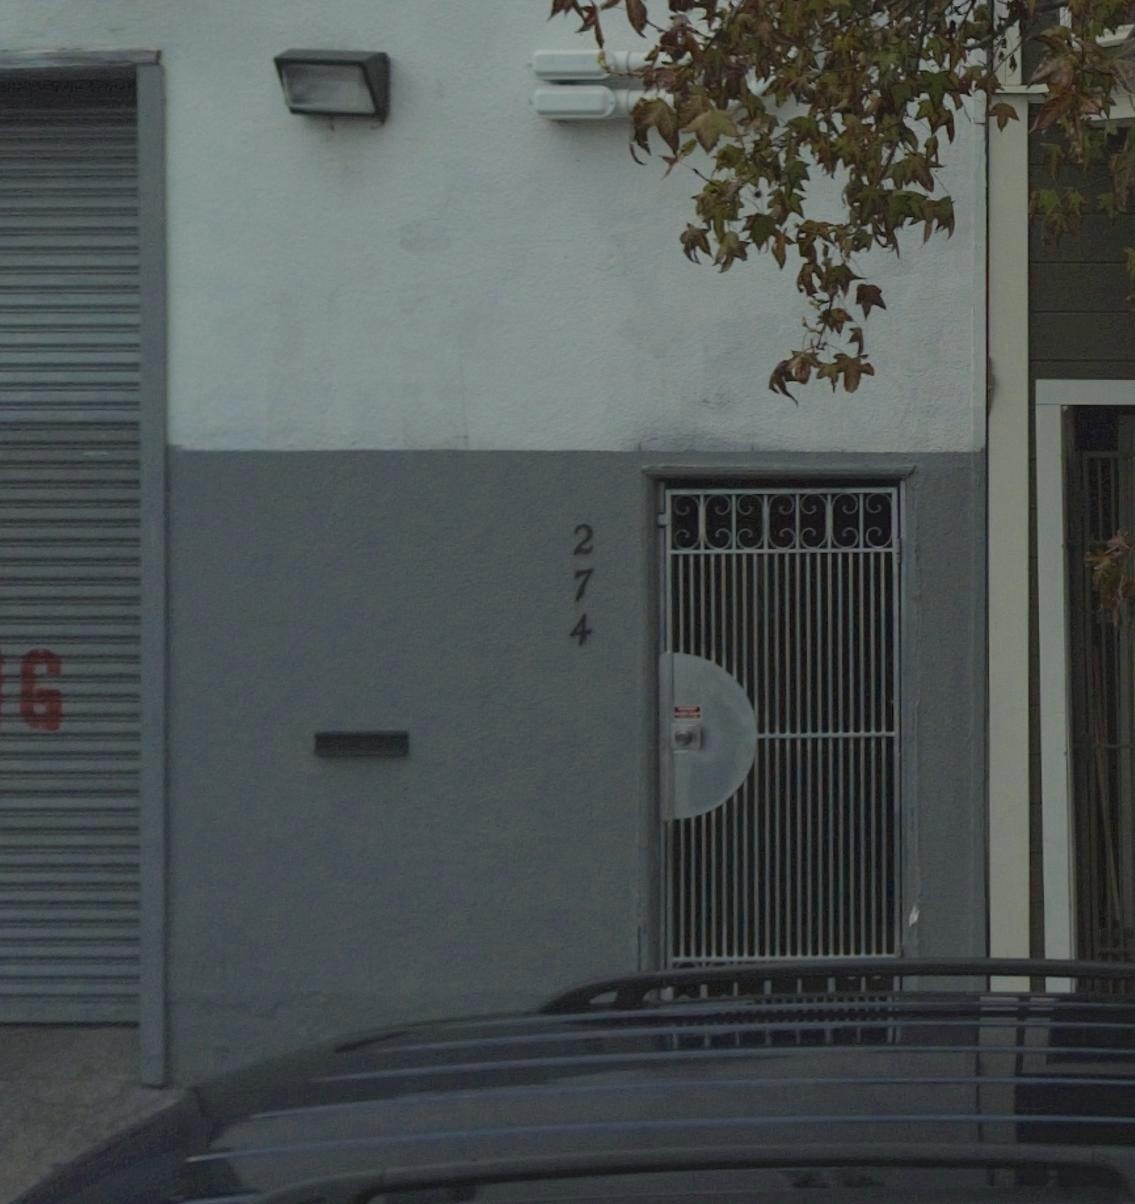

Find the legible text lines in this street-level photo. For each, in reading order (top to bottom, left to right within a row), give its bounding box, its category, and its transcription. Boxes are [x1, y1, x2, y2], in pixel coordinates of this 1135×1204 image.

[569, 521, 597, 647] StreetNumber: 274
[16, 641, 63, 733] None: G